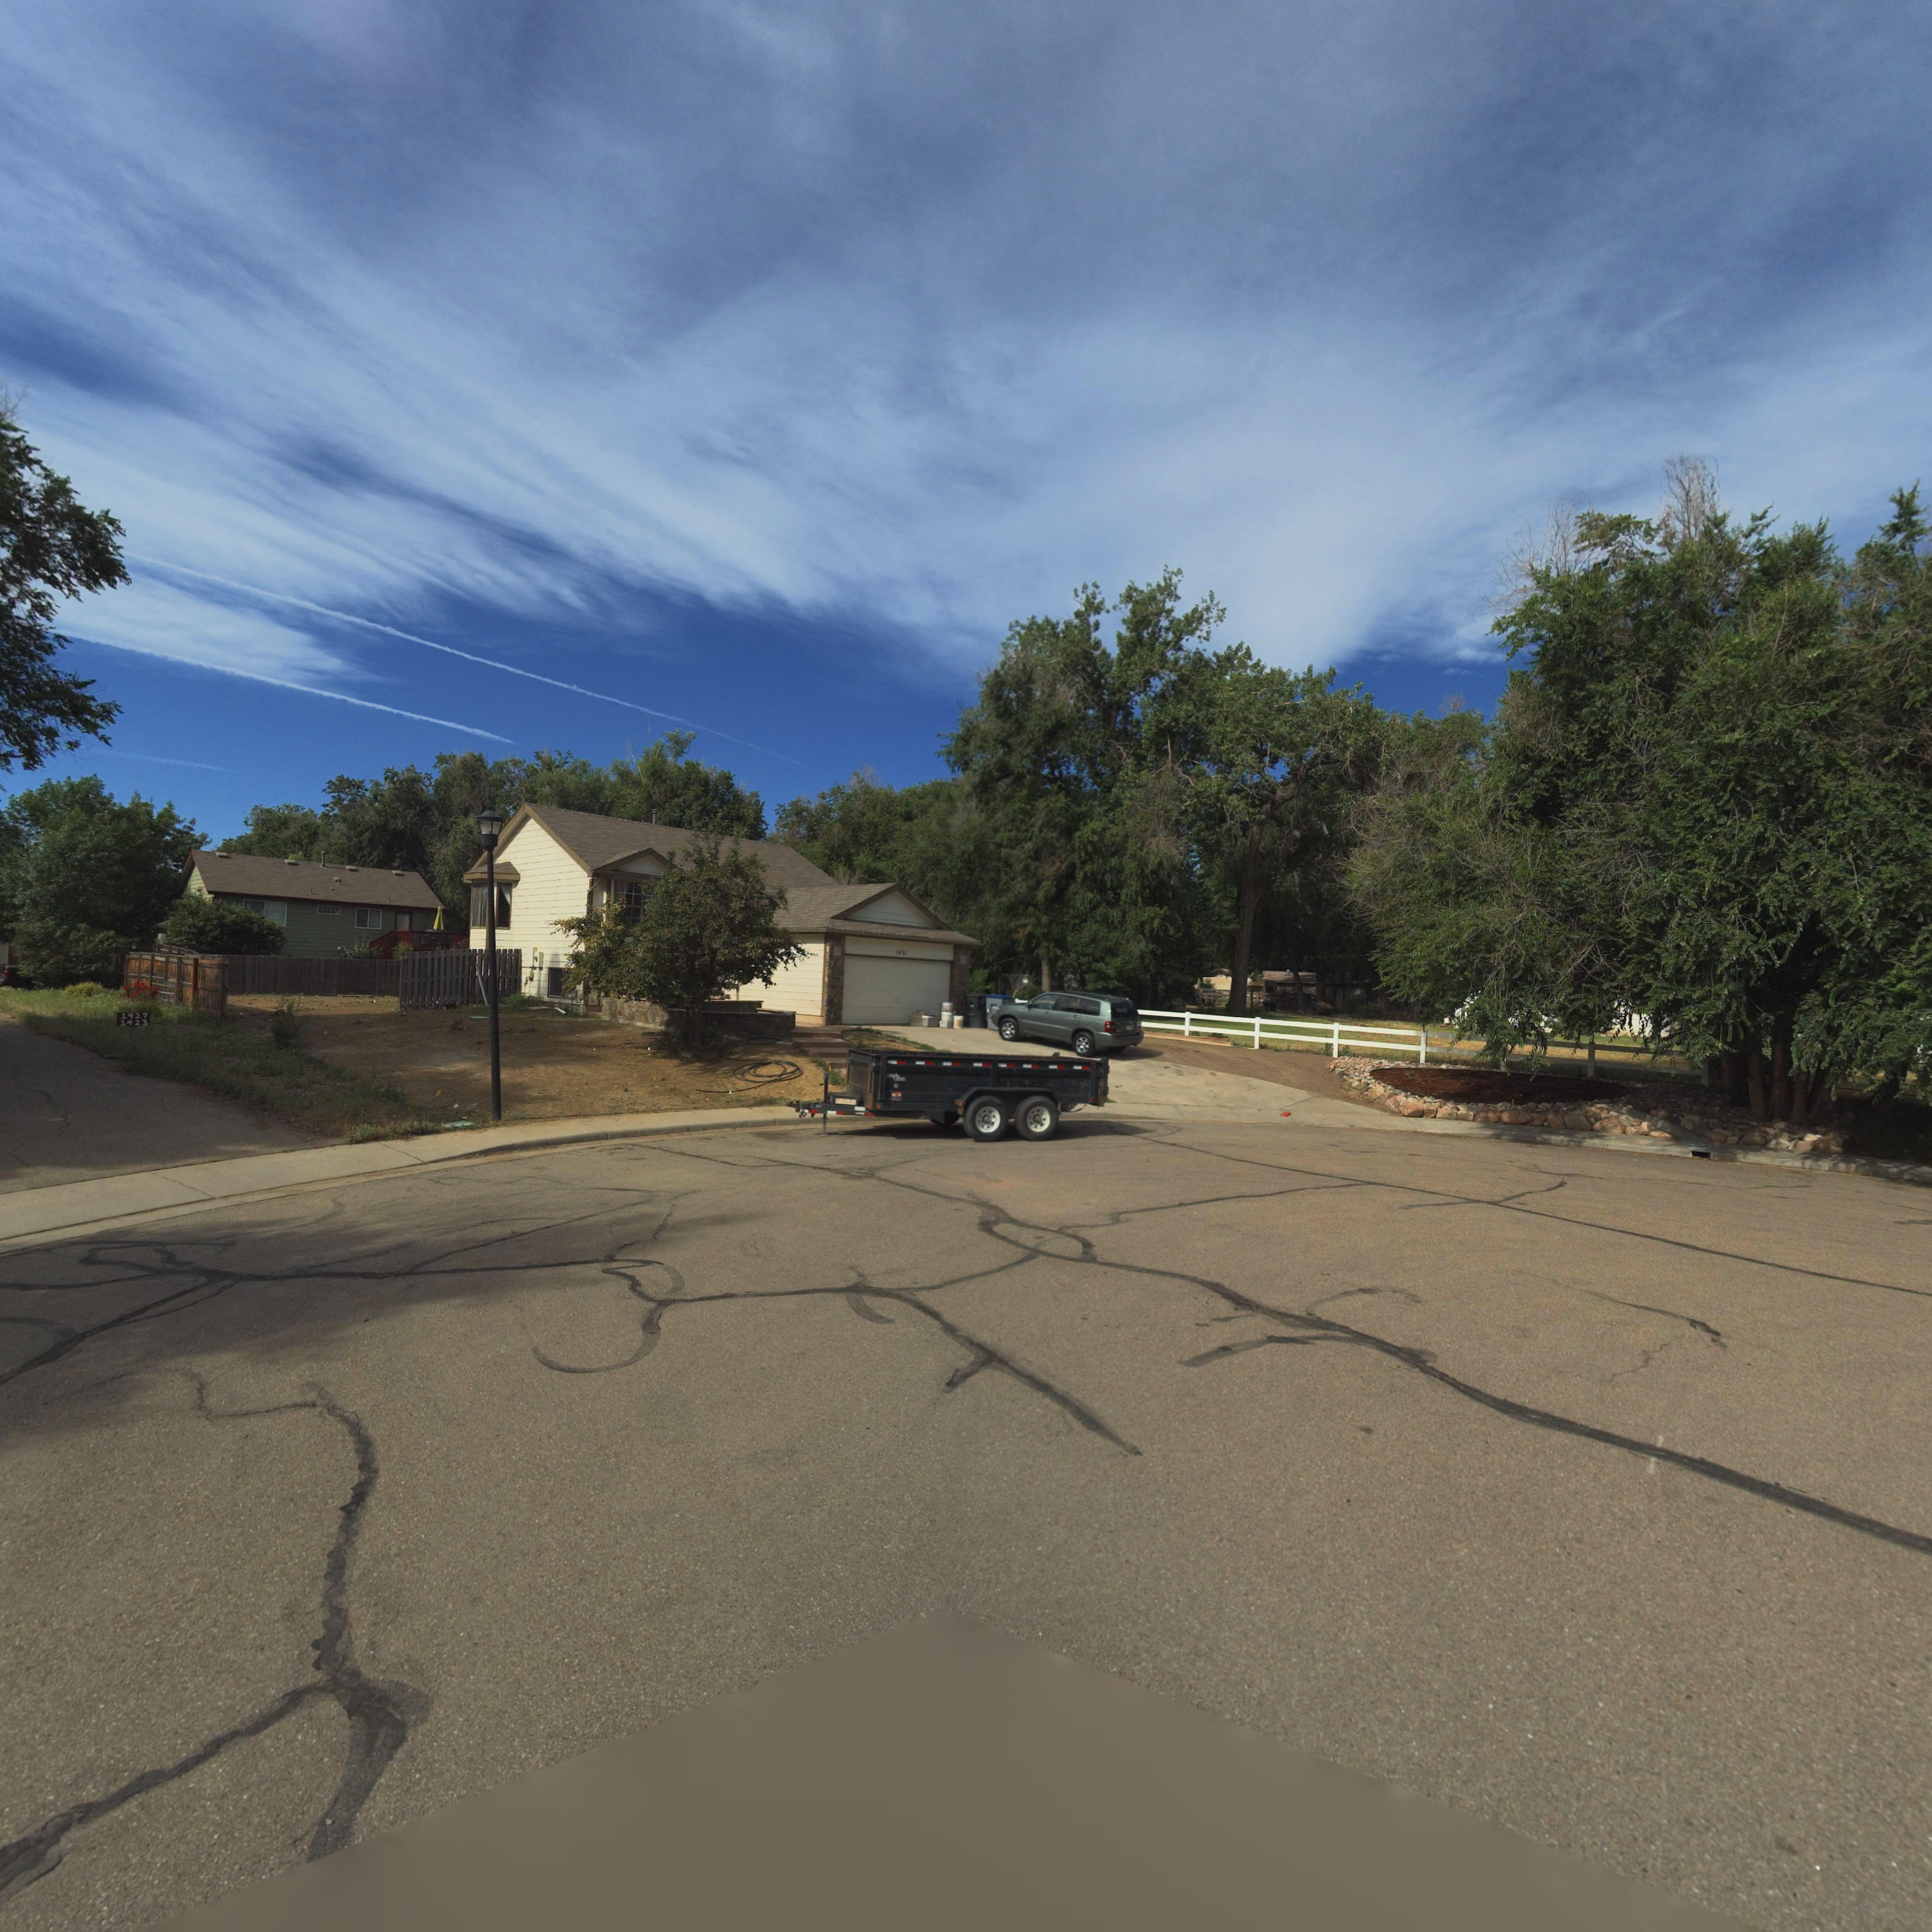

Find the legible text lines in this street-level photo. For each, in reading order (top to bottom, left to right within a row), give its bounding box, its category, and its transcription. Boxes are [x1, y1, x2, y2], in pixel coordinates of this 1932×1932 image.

[896, 949, 906, 955] StreetNumber: 1431
[120, 1012, 148, 1019] StreetNumber: 1427
[120, 1019, 148, 1026] StreetNumber: 1423